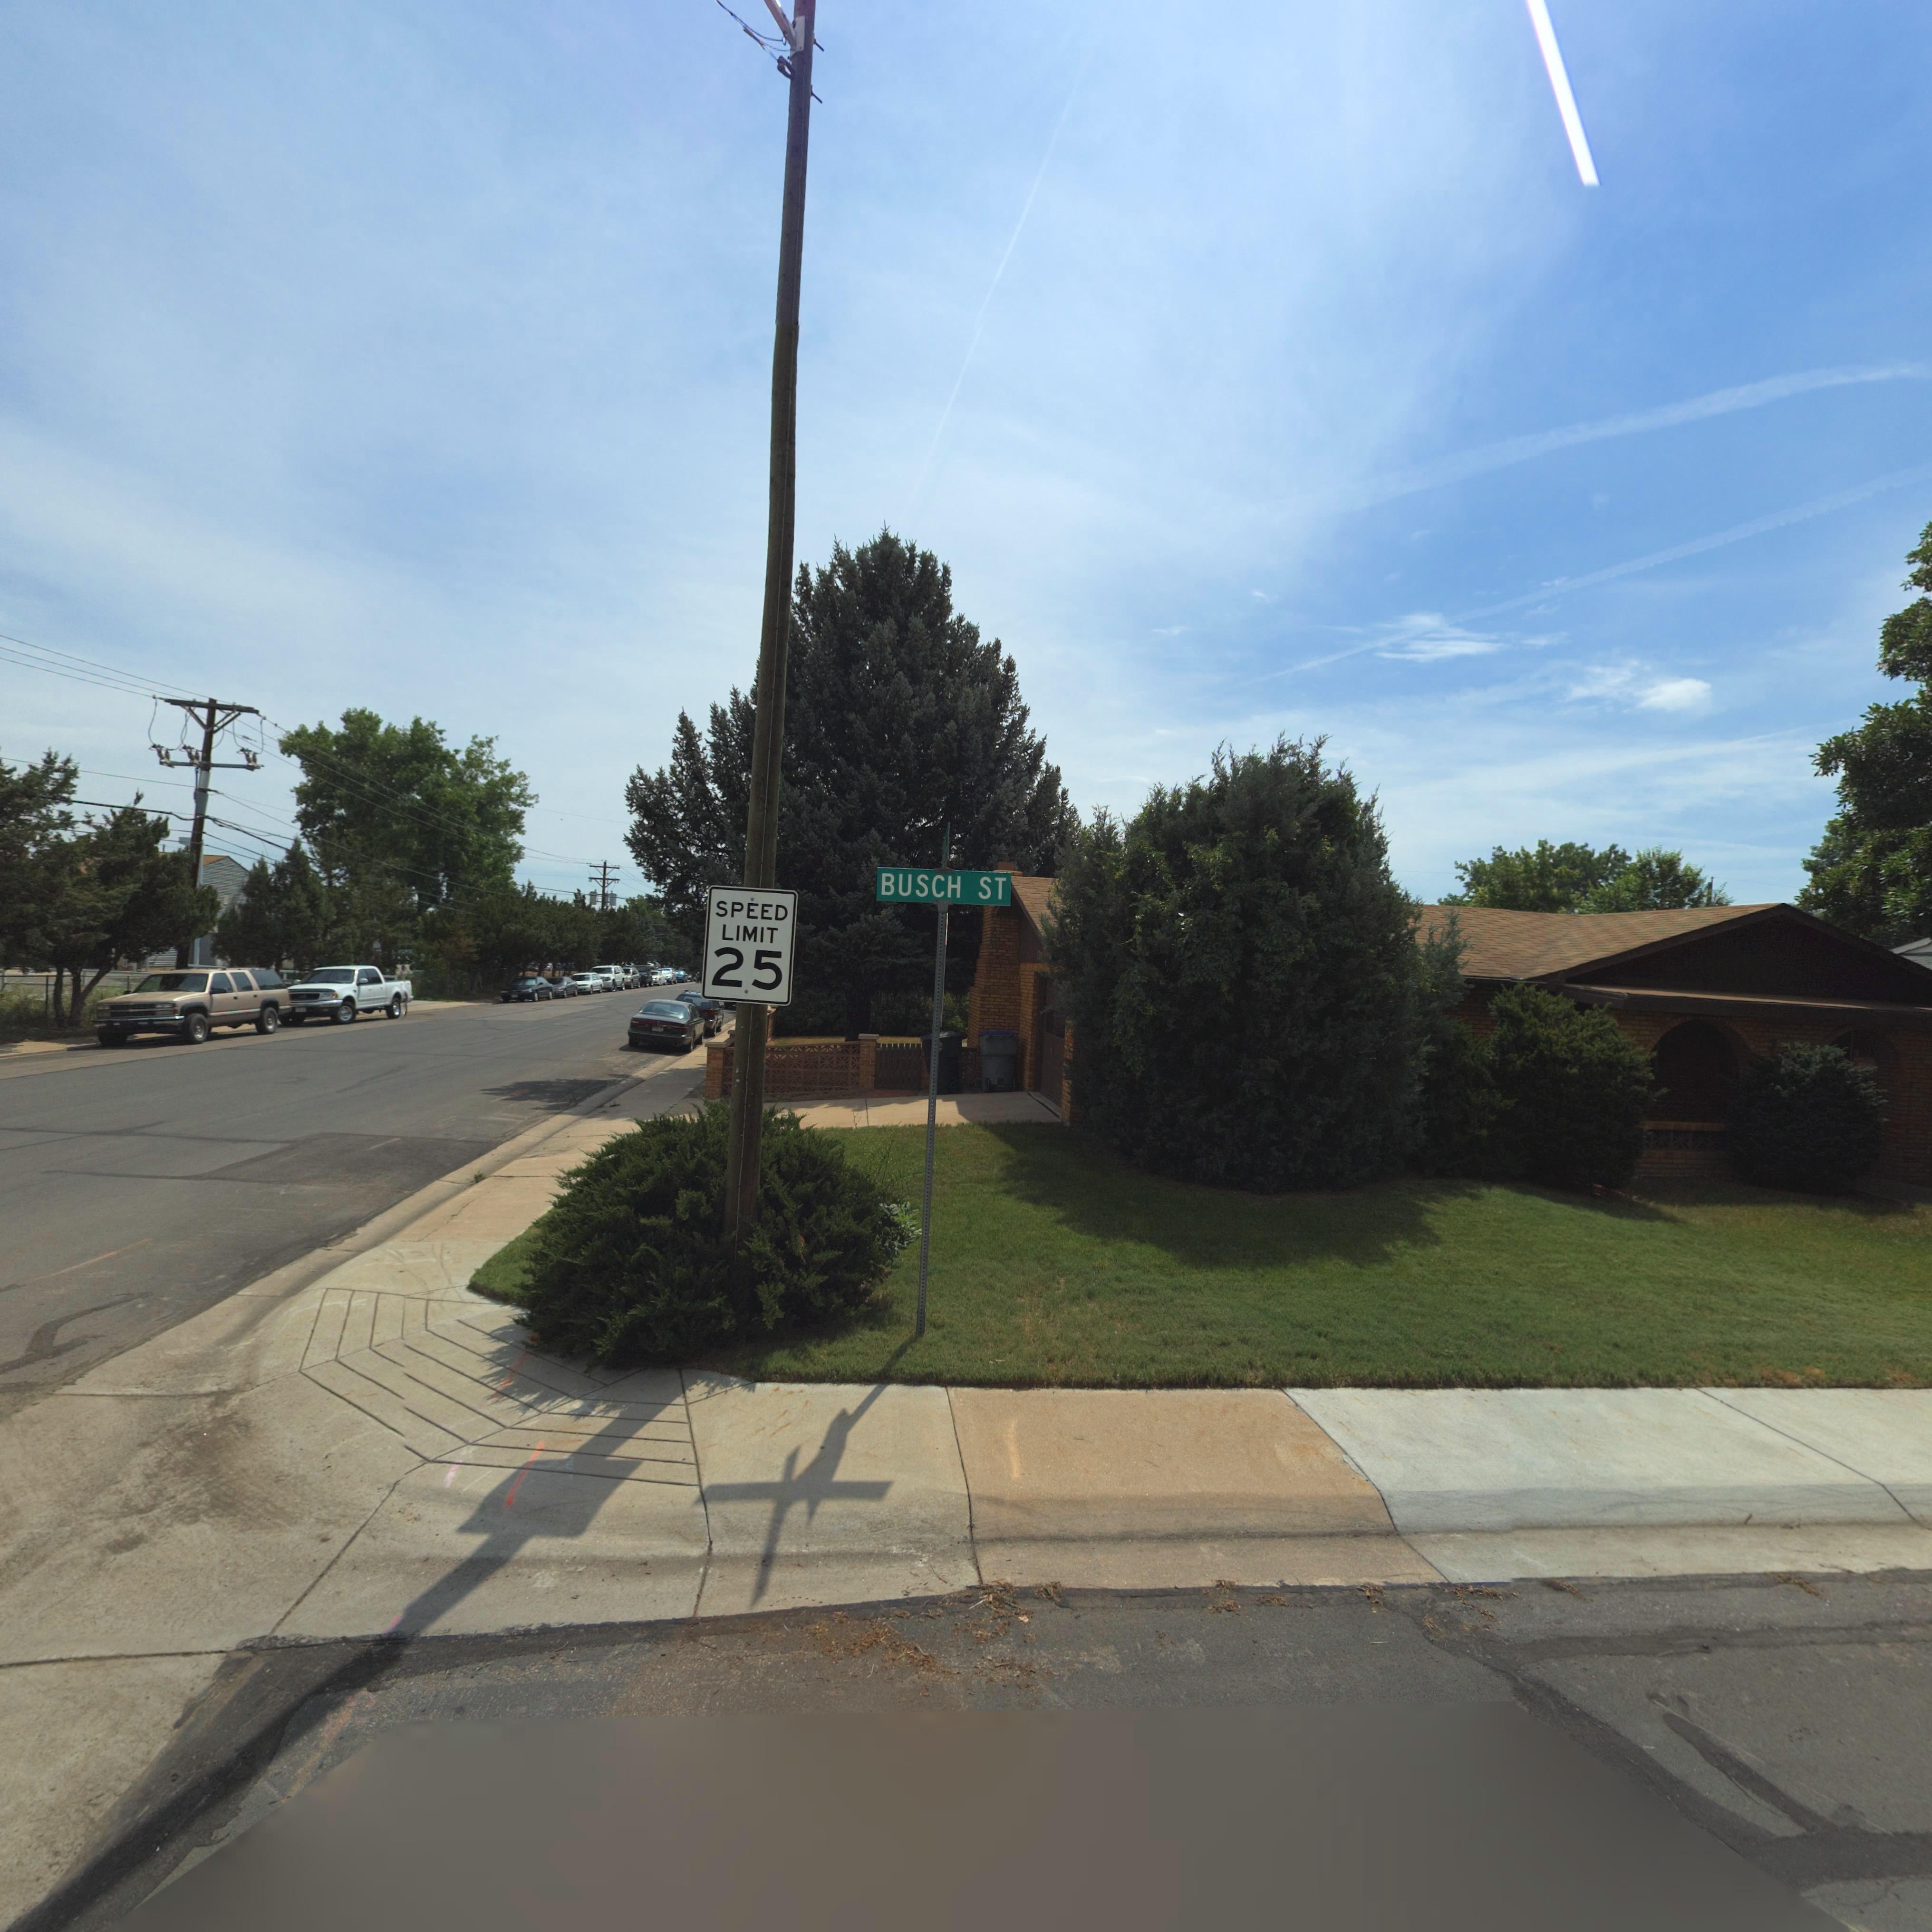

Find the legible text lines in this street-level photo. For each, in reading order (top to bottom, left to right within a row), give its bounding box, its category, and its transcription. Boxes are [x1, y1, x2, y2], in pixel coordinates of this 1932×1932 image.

[880, 871, 1007, 900] StreetName: BUSCH ST